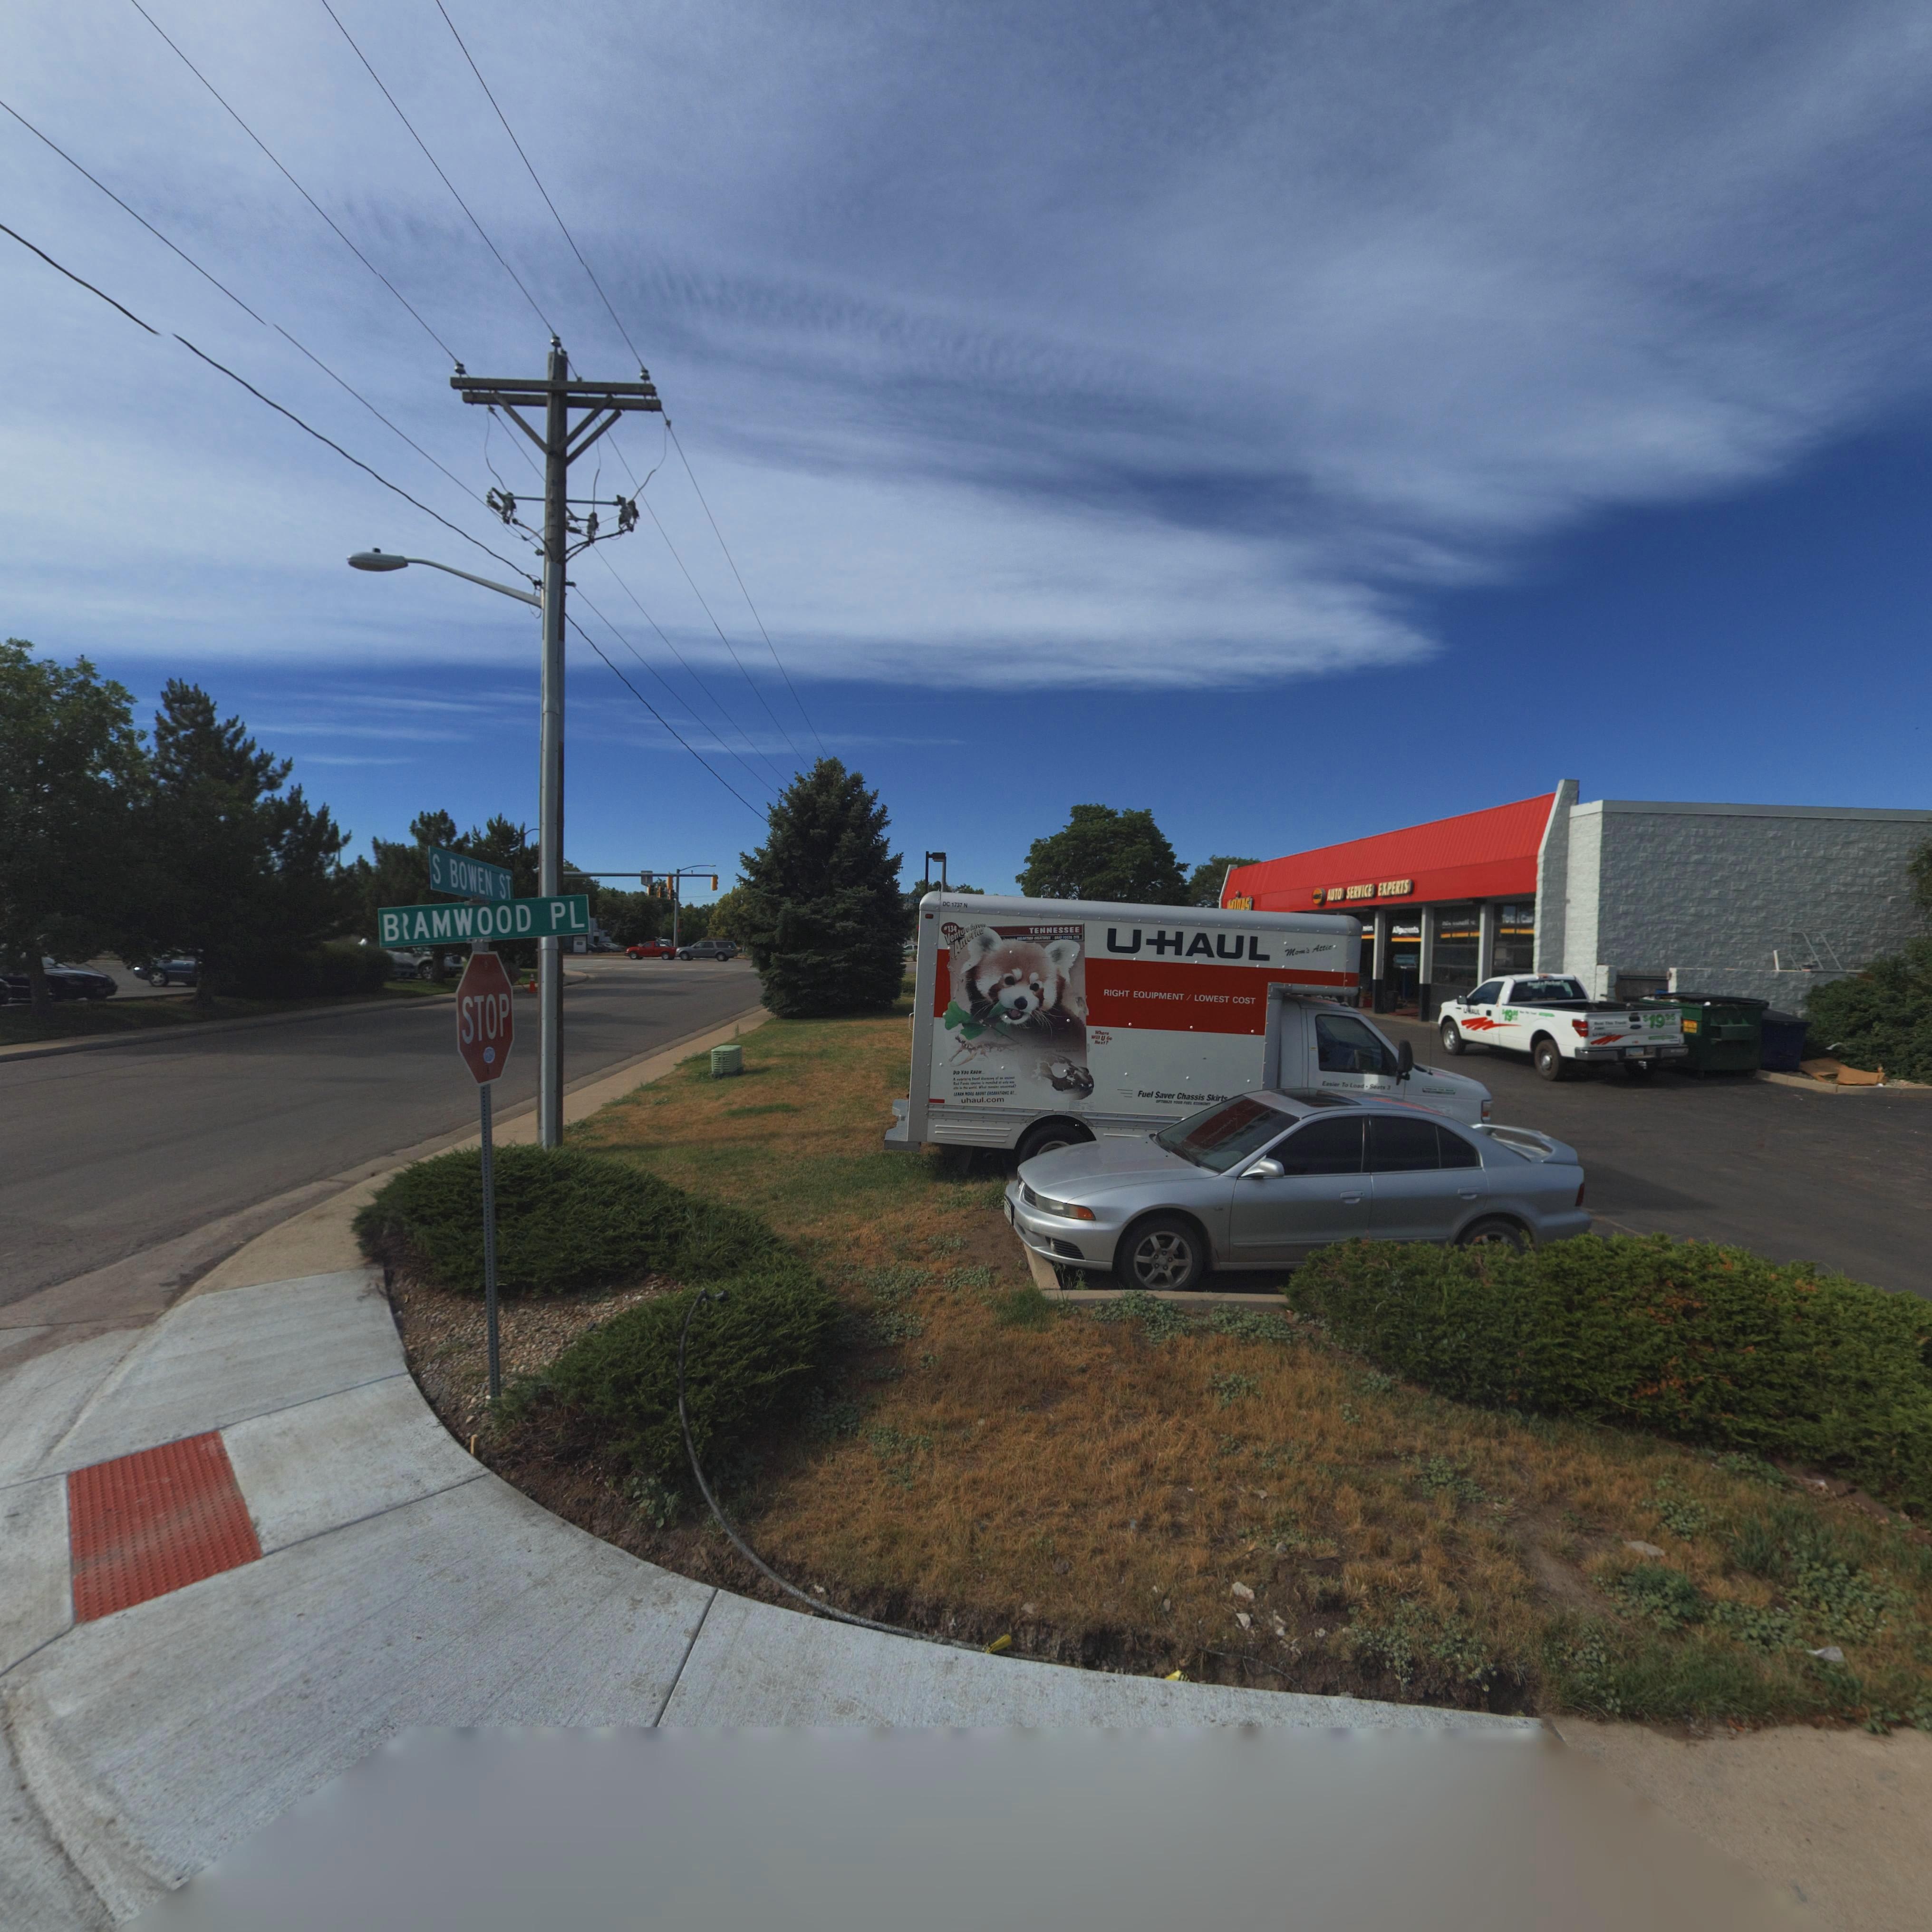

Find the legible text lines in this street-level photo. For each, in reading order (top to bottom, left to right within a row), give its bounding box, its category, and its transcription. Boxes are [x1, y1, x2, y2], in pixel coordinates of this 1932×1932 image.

[432, 853, 512, 900] StreetName: S BOWEN ST
[1327, 879, 1409, 901] BusinessName: AUTO SERVICE EXPERTS
[381, 899, 585, 943] StreetName: B*AMWOOD PL